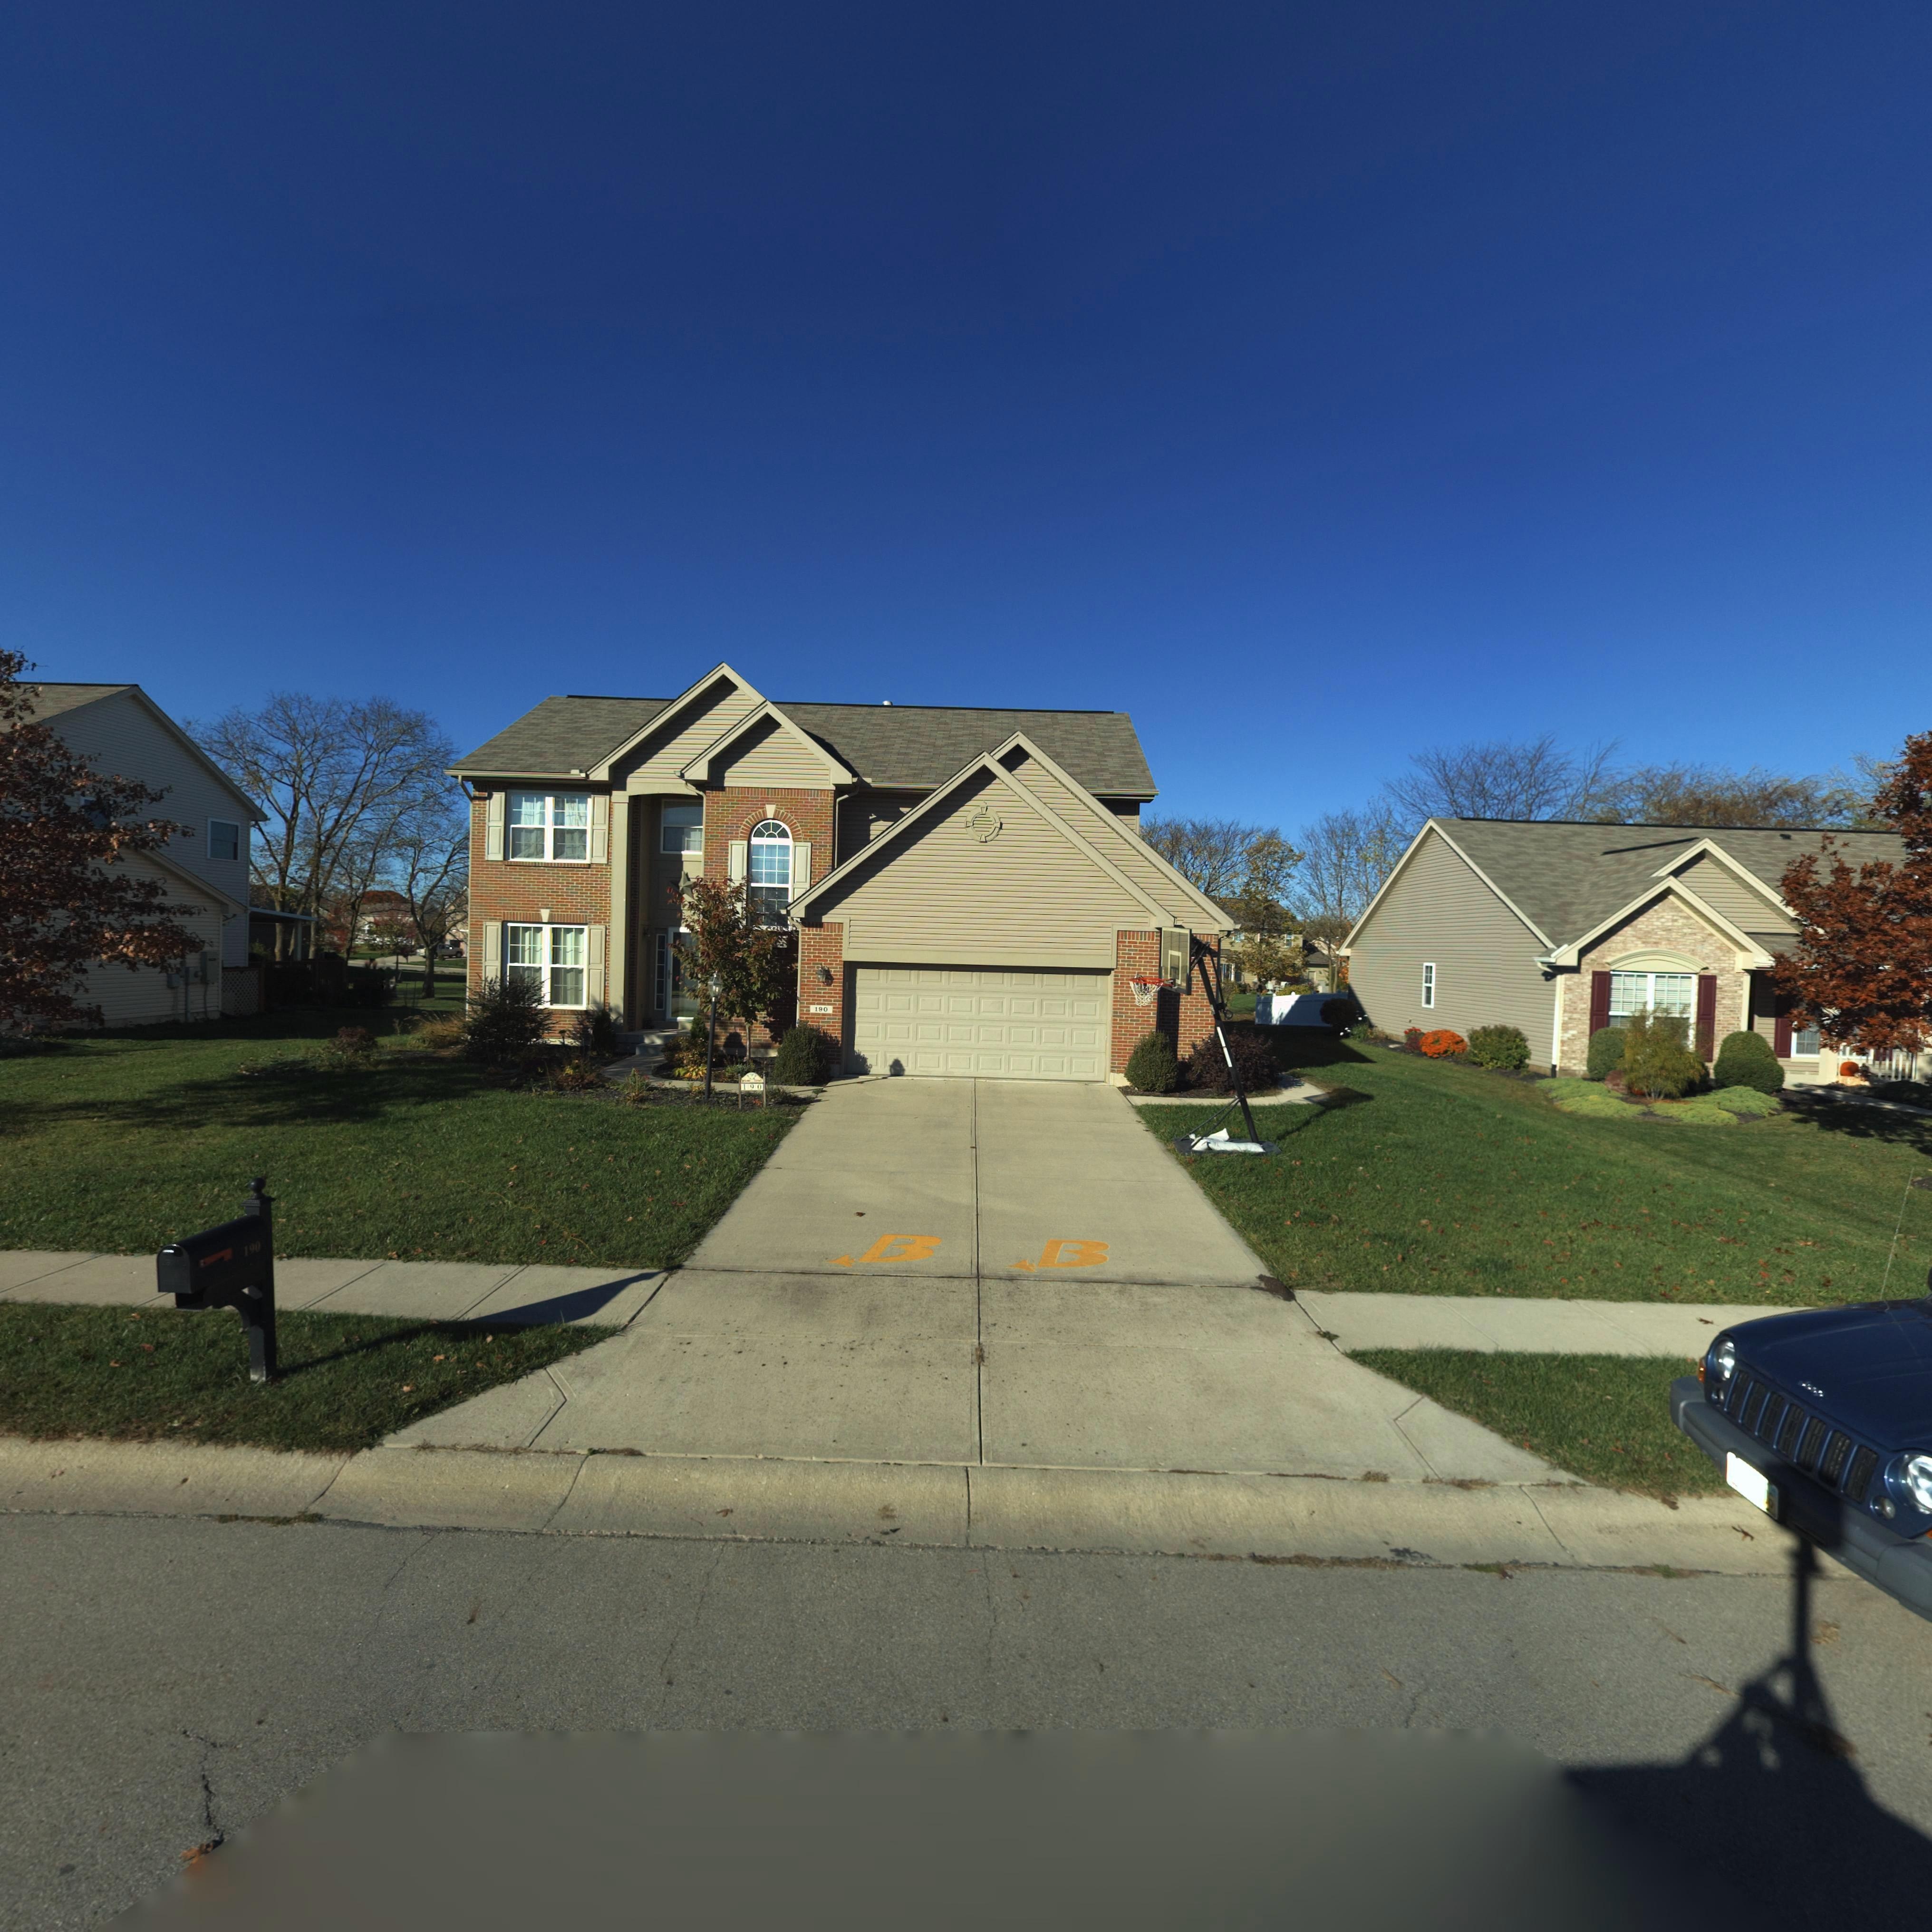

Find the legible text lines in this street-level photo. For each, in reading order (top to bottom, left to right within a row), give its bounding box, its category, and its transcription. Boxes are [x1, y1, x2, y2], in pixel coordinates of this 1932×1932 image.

[814, 1006, 829, 1013] StreetNumber: 190
[743, 1083, 763, 1091] StreetNumber: 190
[243, 1239, 262, 1258] StreetNumber: 190